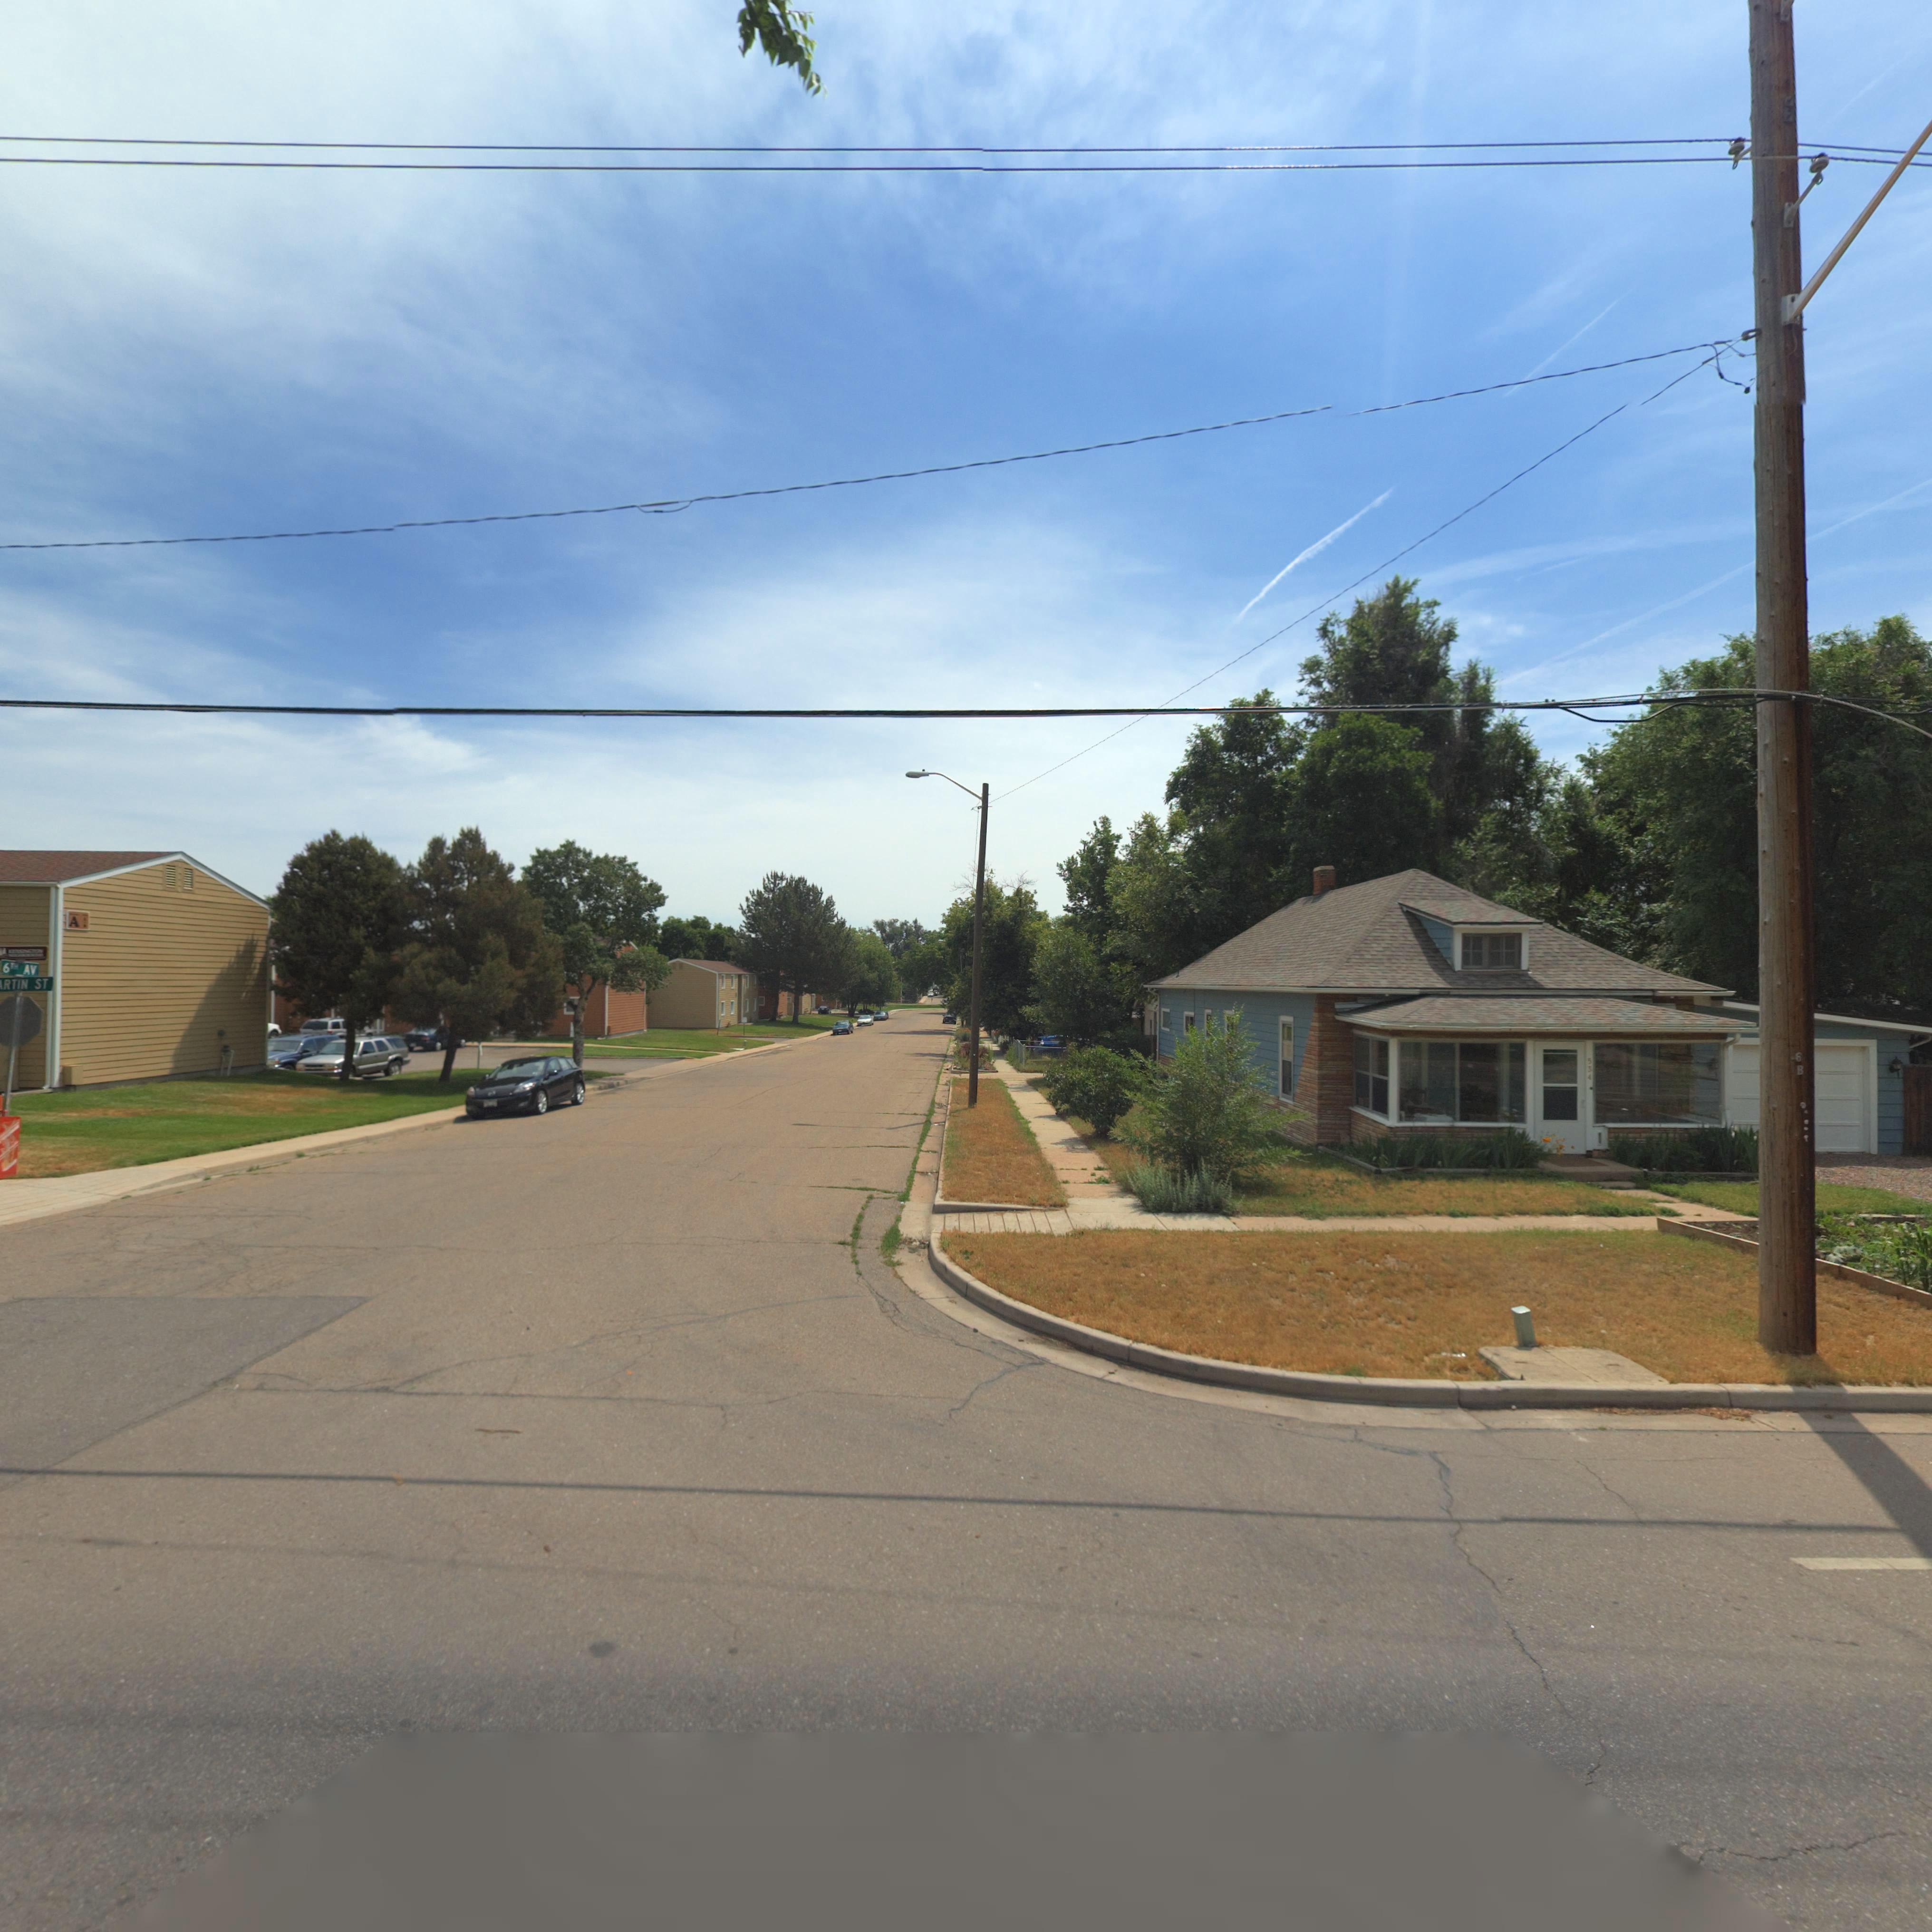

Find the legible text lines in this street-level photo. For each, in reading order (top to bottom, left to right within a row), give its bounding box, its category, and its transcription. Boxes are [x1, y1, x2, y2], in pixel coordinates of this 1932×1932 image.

[2, 962, 38, 976] StreetName: 6TH AV
[3, 978, 49, 990] StreetName: RTIN ST
[1587, 1058, 1592, 1081] StreetNumber: 534